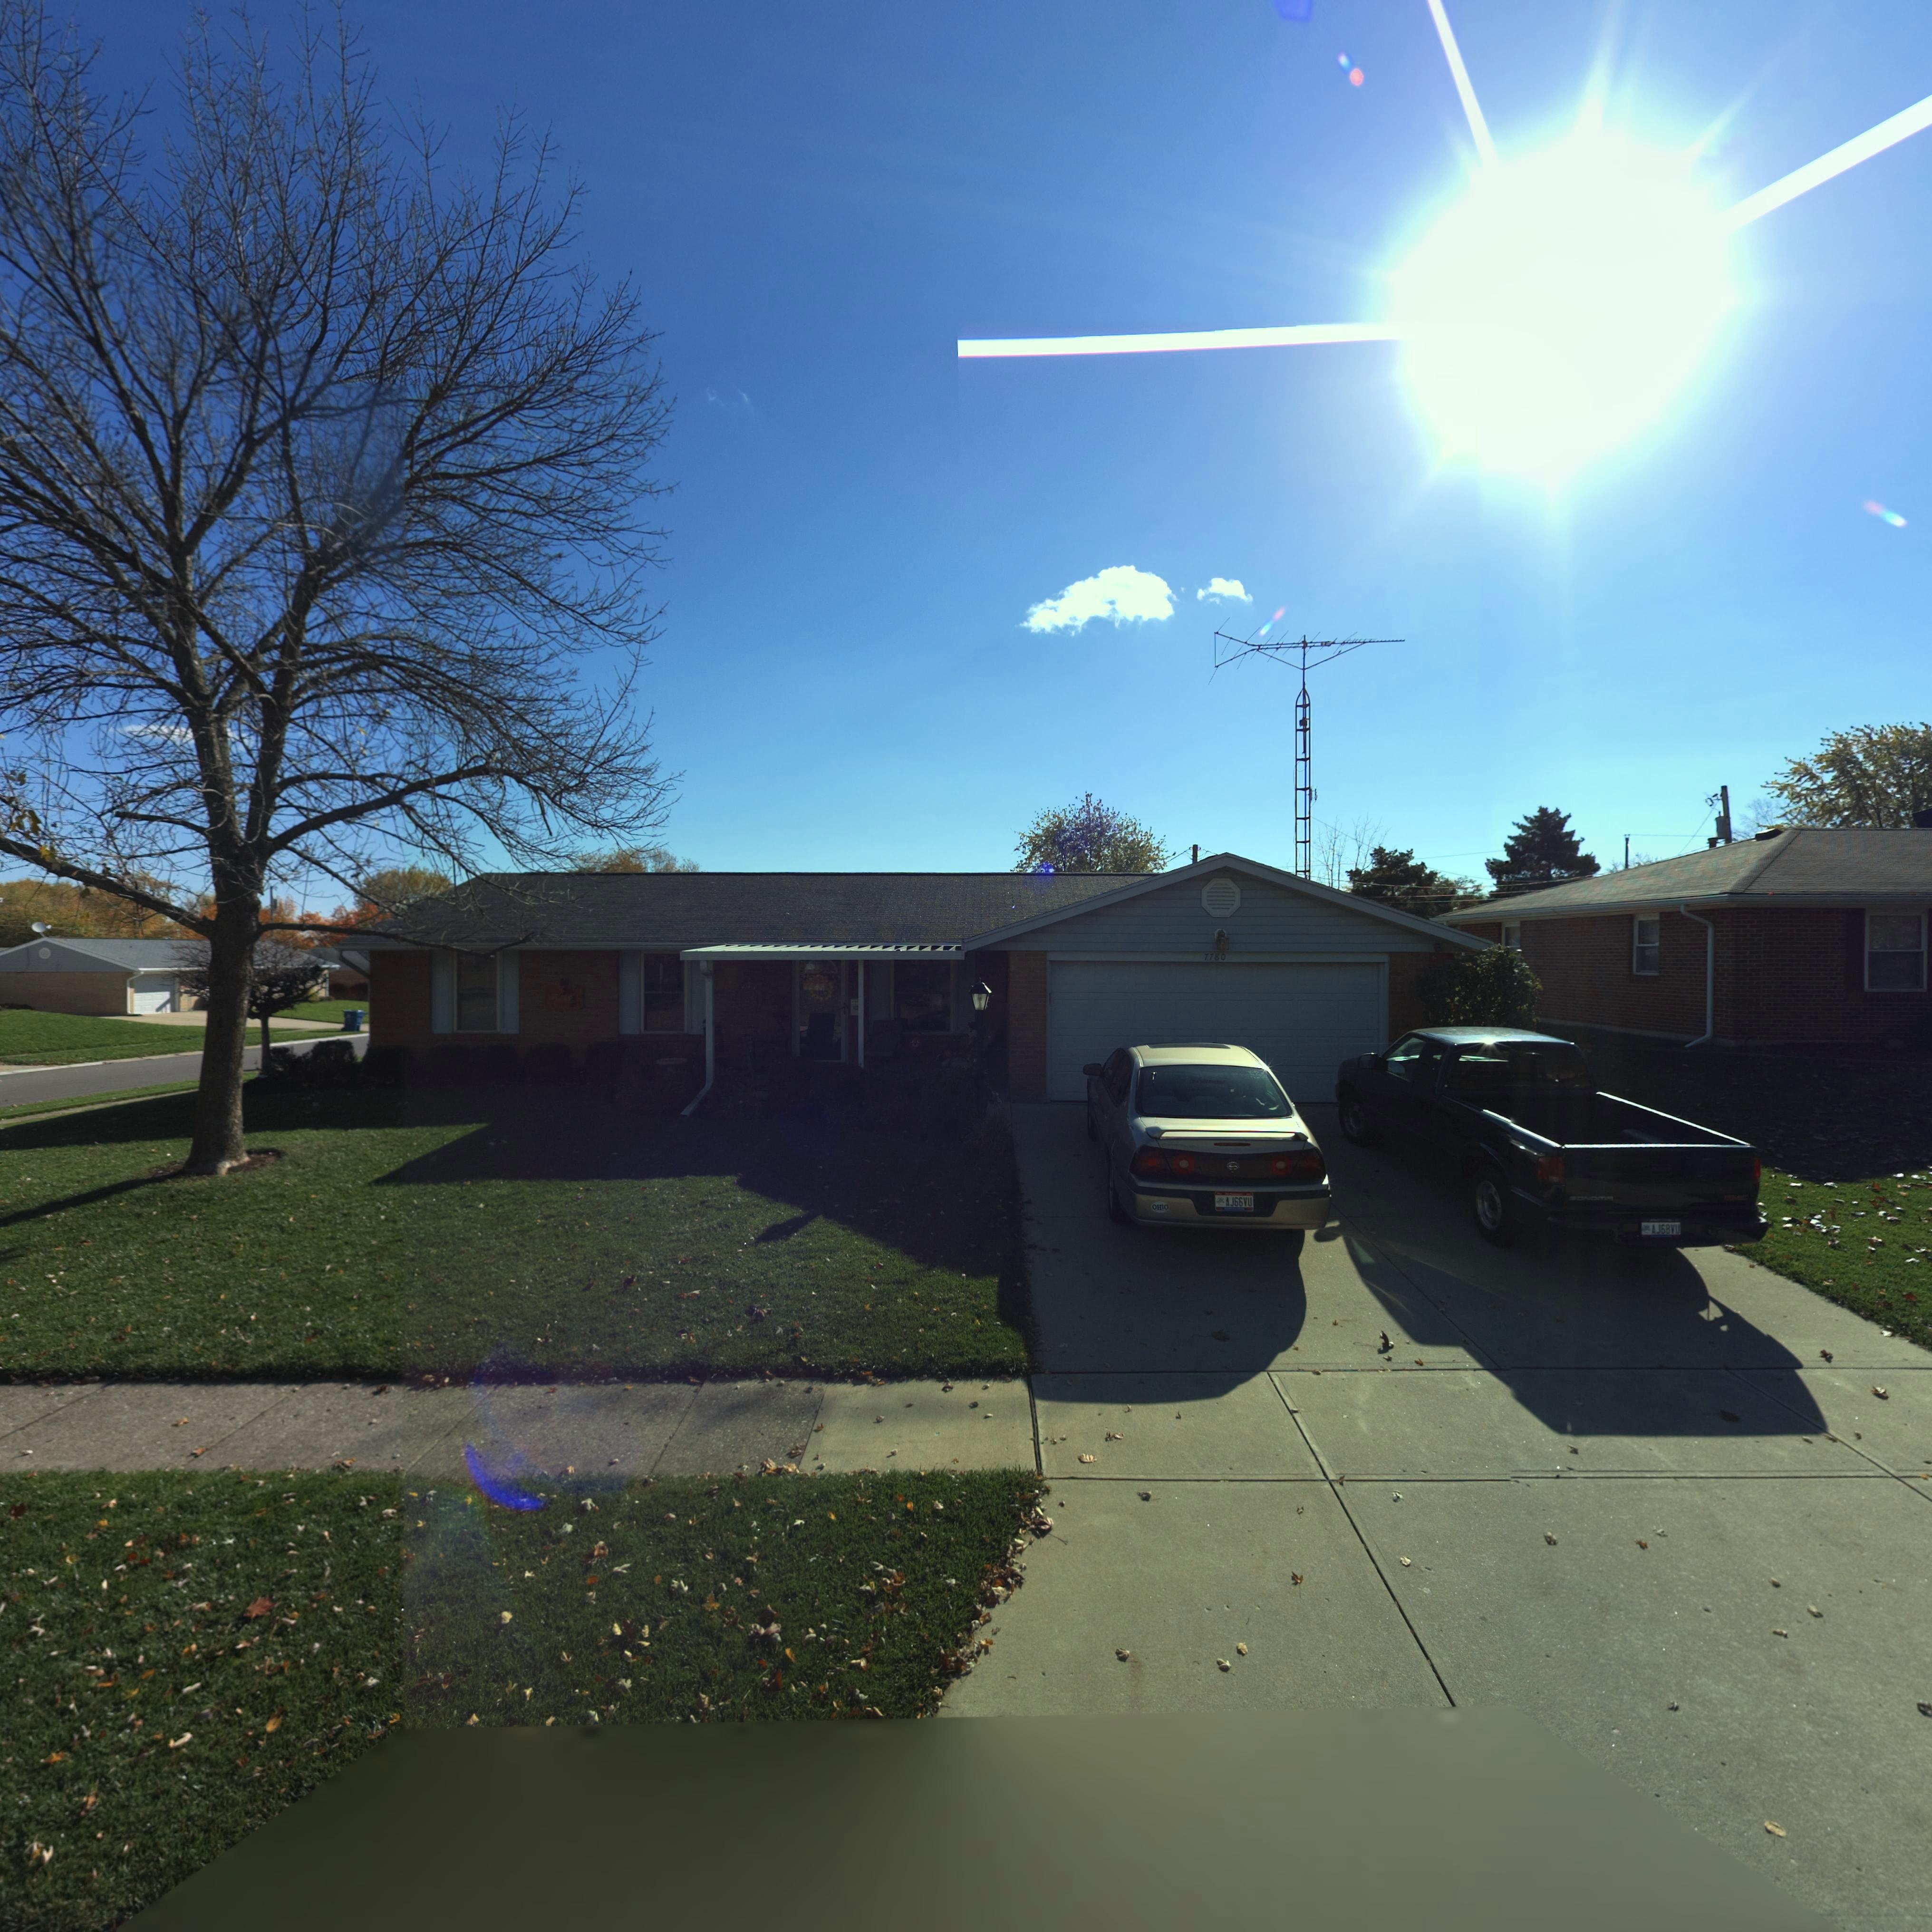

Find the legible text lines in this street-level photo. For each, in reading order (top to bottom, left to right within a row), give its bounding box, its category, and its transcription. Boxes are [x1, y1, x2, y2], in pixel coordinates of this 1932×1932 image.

[1203, 952, 1227, 962] StreetNumber: 7780